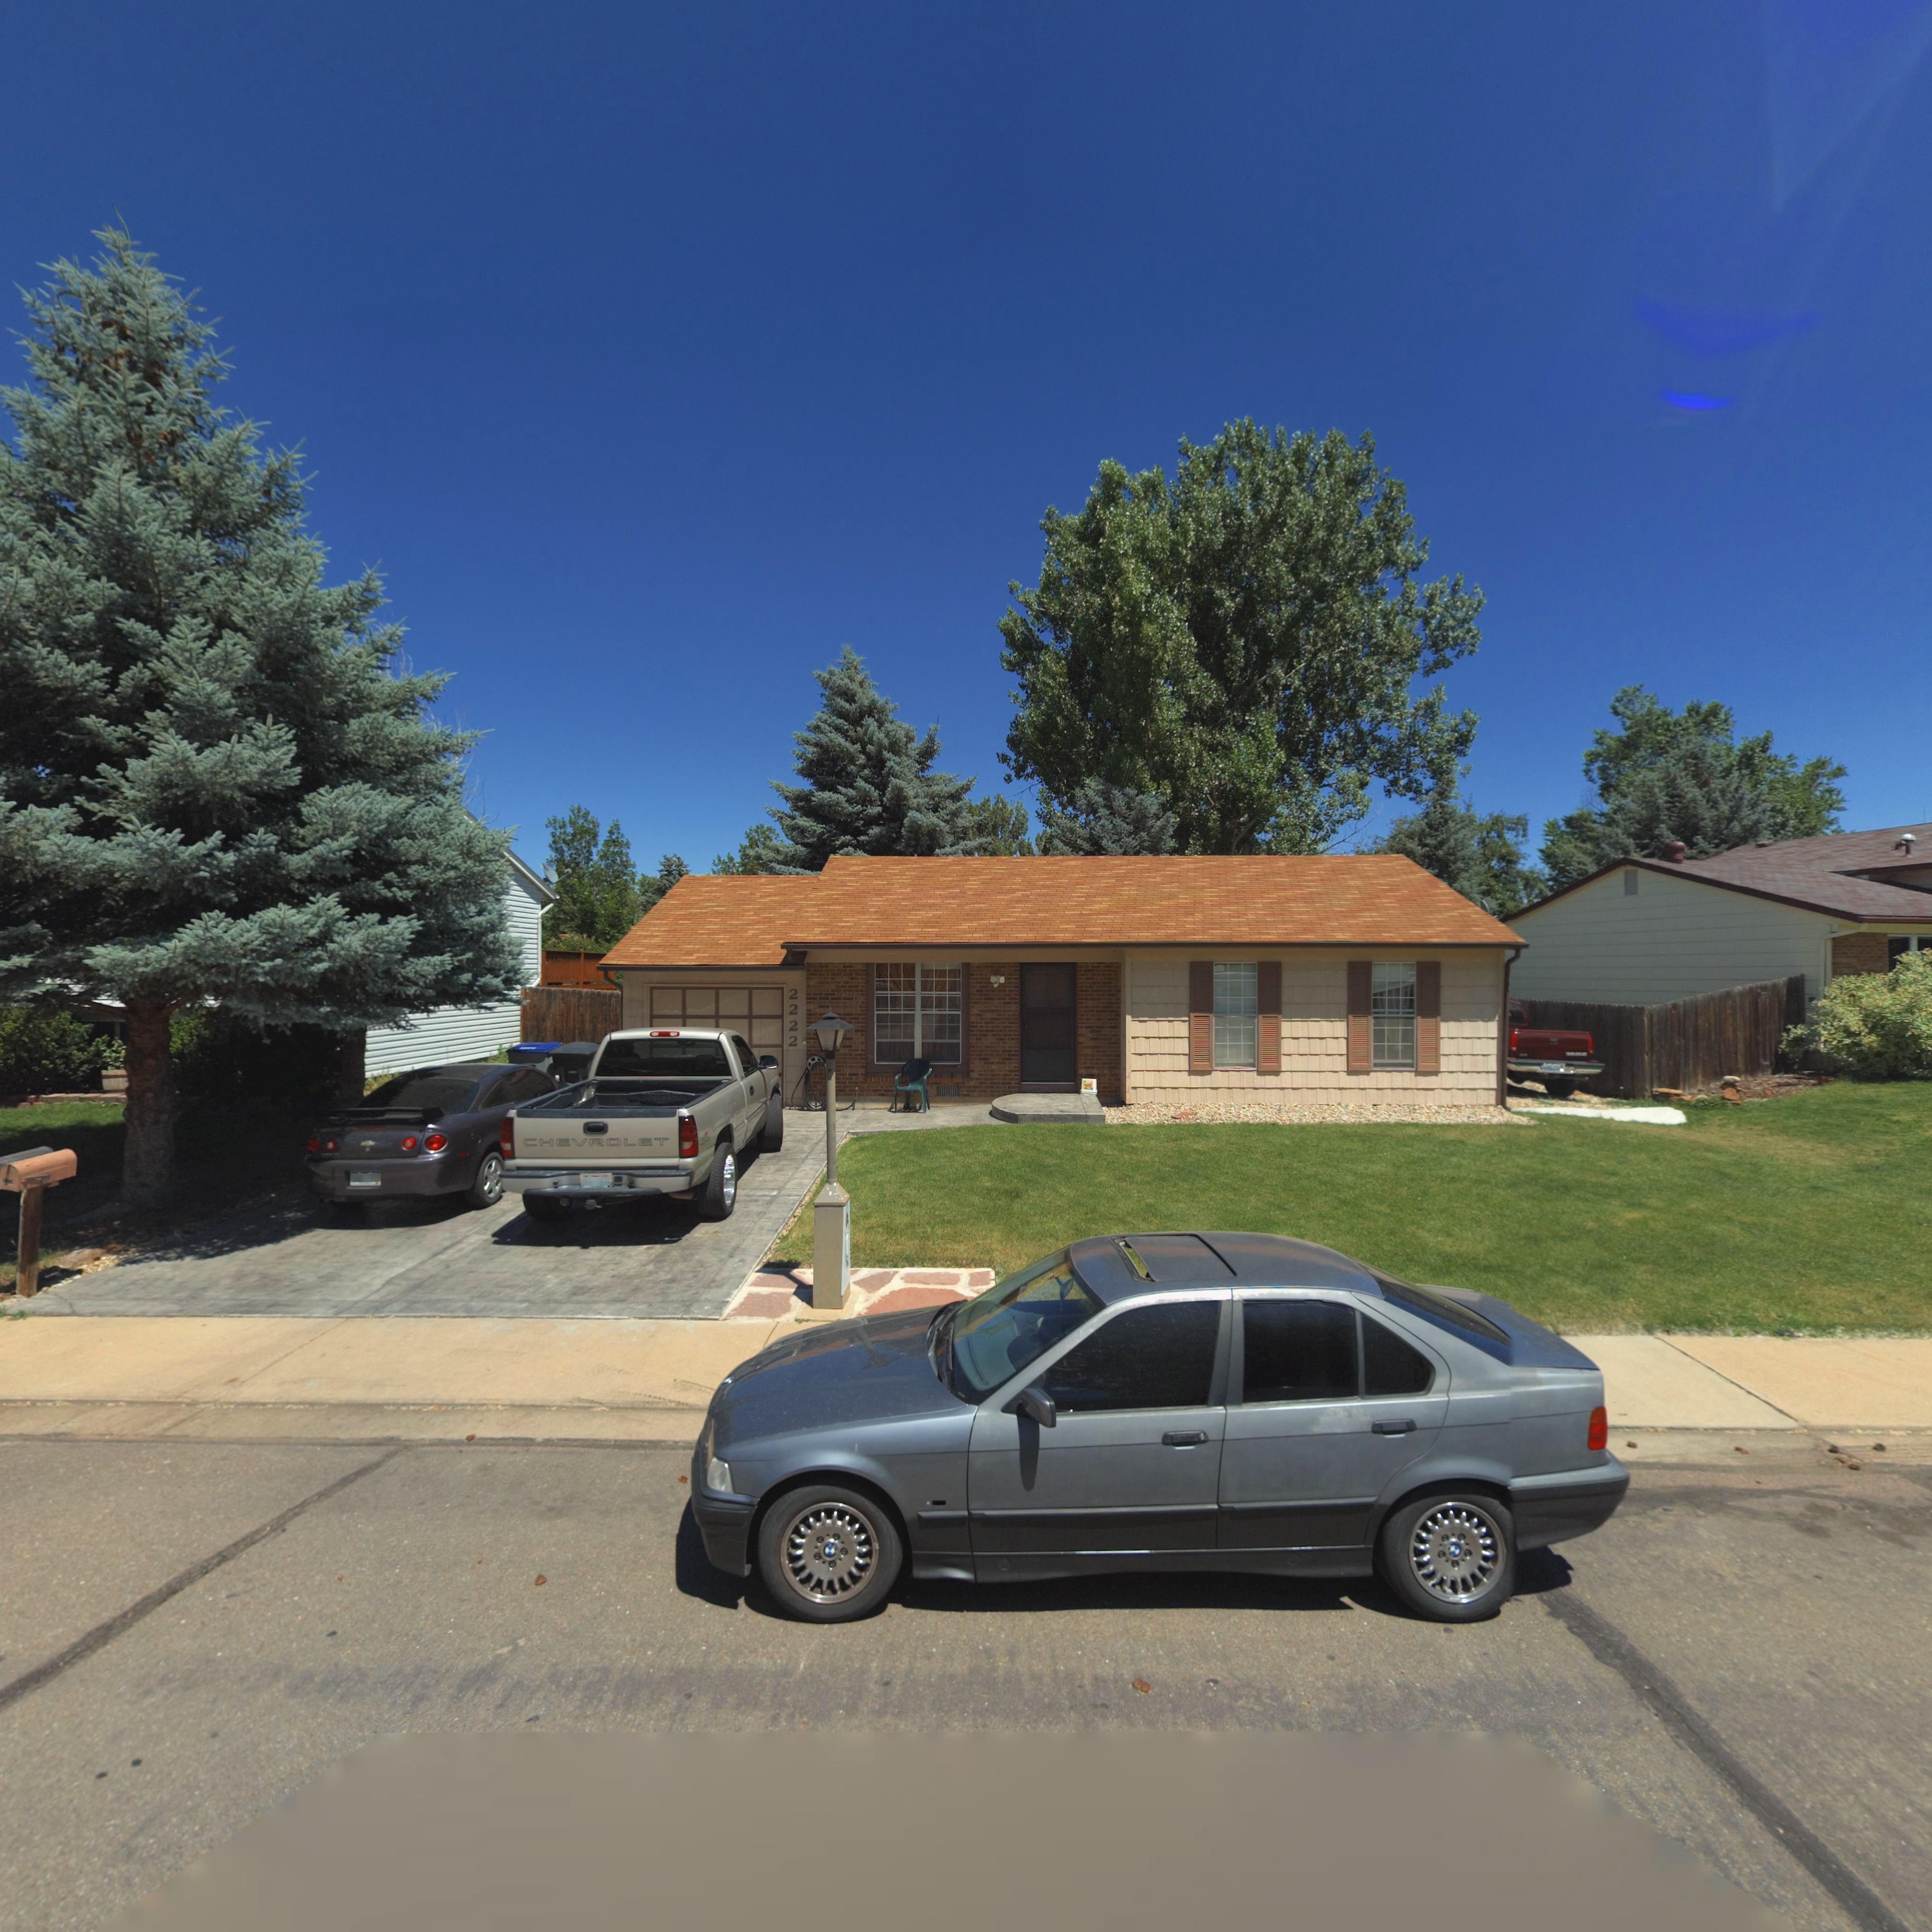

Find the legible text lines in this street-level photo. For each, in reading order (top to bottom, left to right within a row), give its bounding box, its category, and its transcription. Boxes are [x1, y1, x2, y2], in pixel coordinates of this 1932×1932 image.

[788, 987, 799, 1047] StreetNumber: 2222